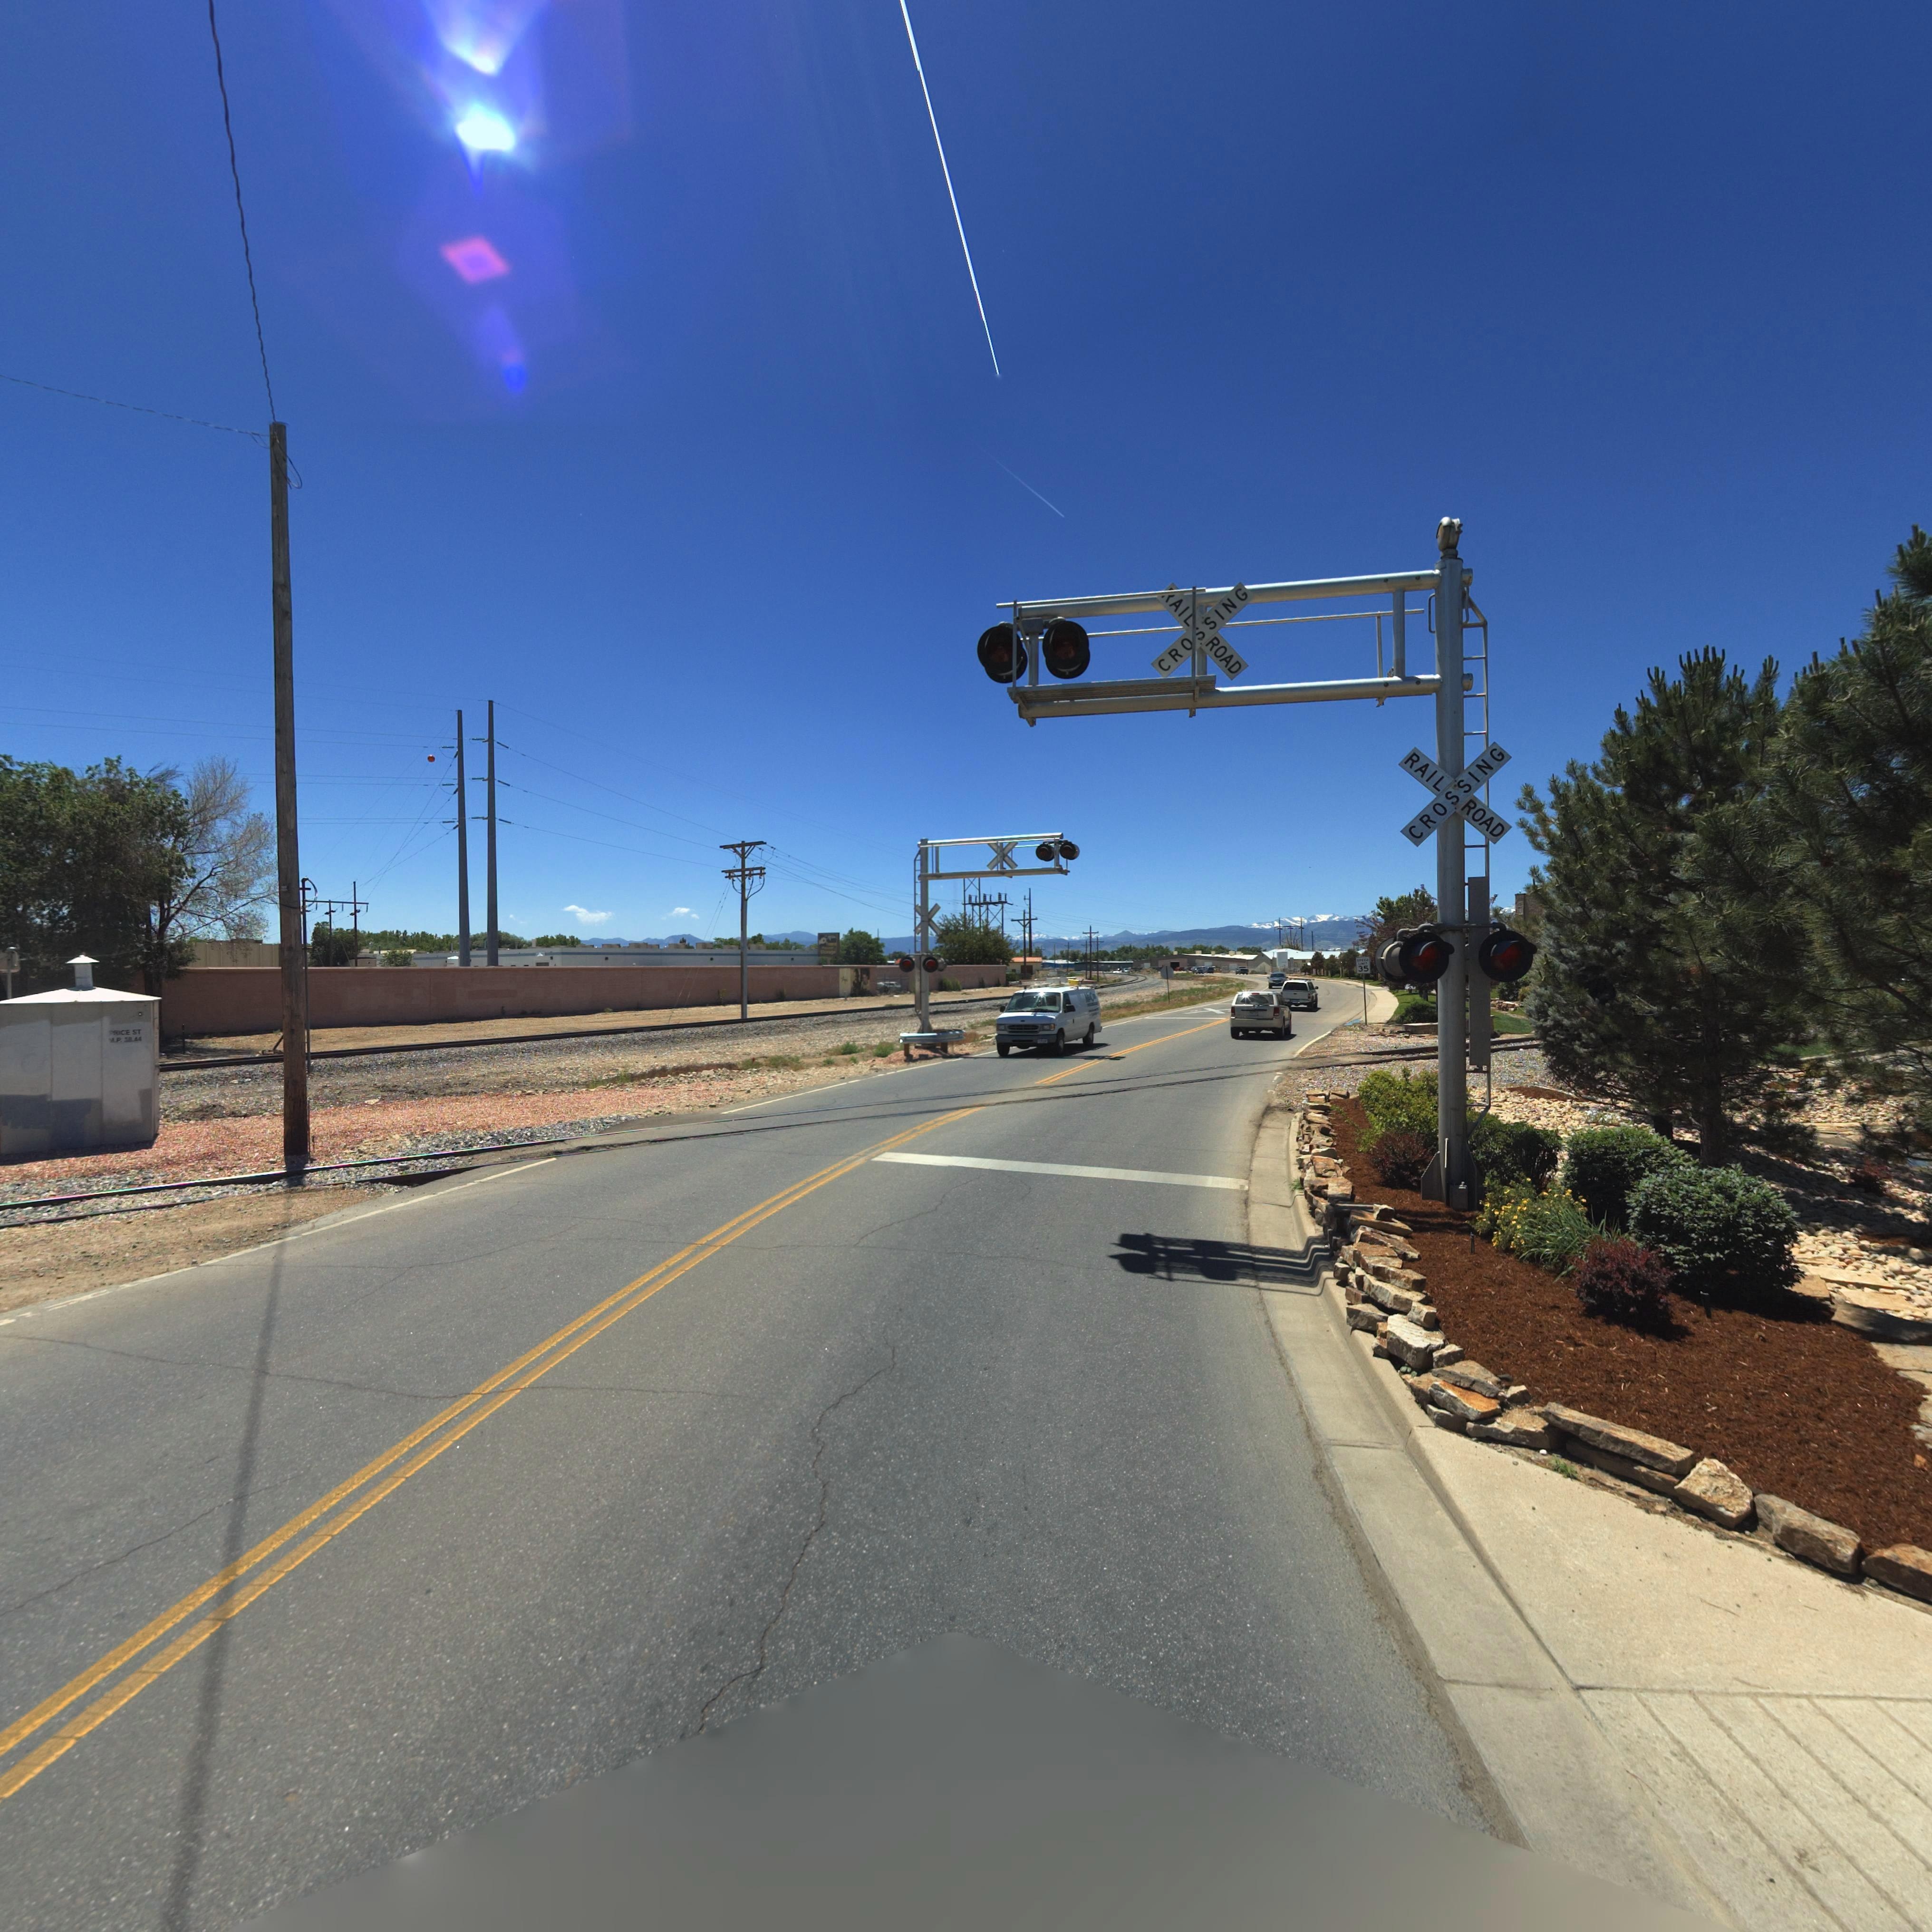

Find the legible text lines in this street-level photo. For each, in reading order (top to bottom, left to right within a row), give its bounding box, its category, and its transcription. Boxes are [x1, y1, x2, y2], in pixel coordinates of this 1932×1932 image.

[109, 1029, 143, 1036] StreetName: PRICE ST